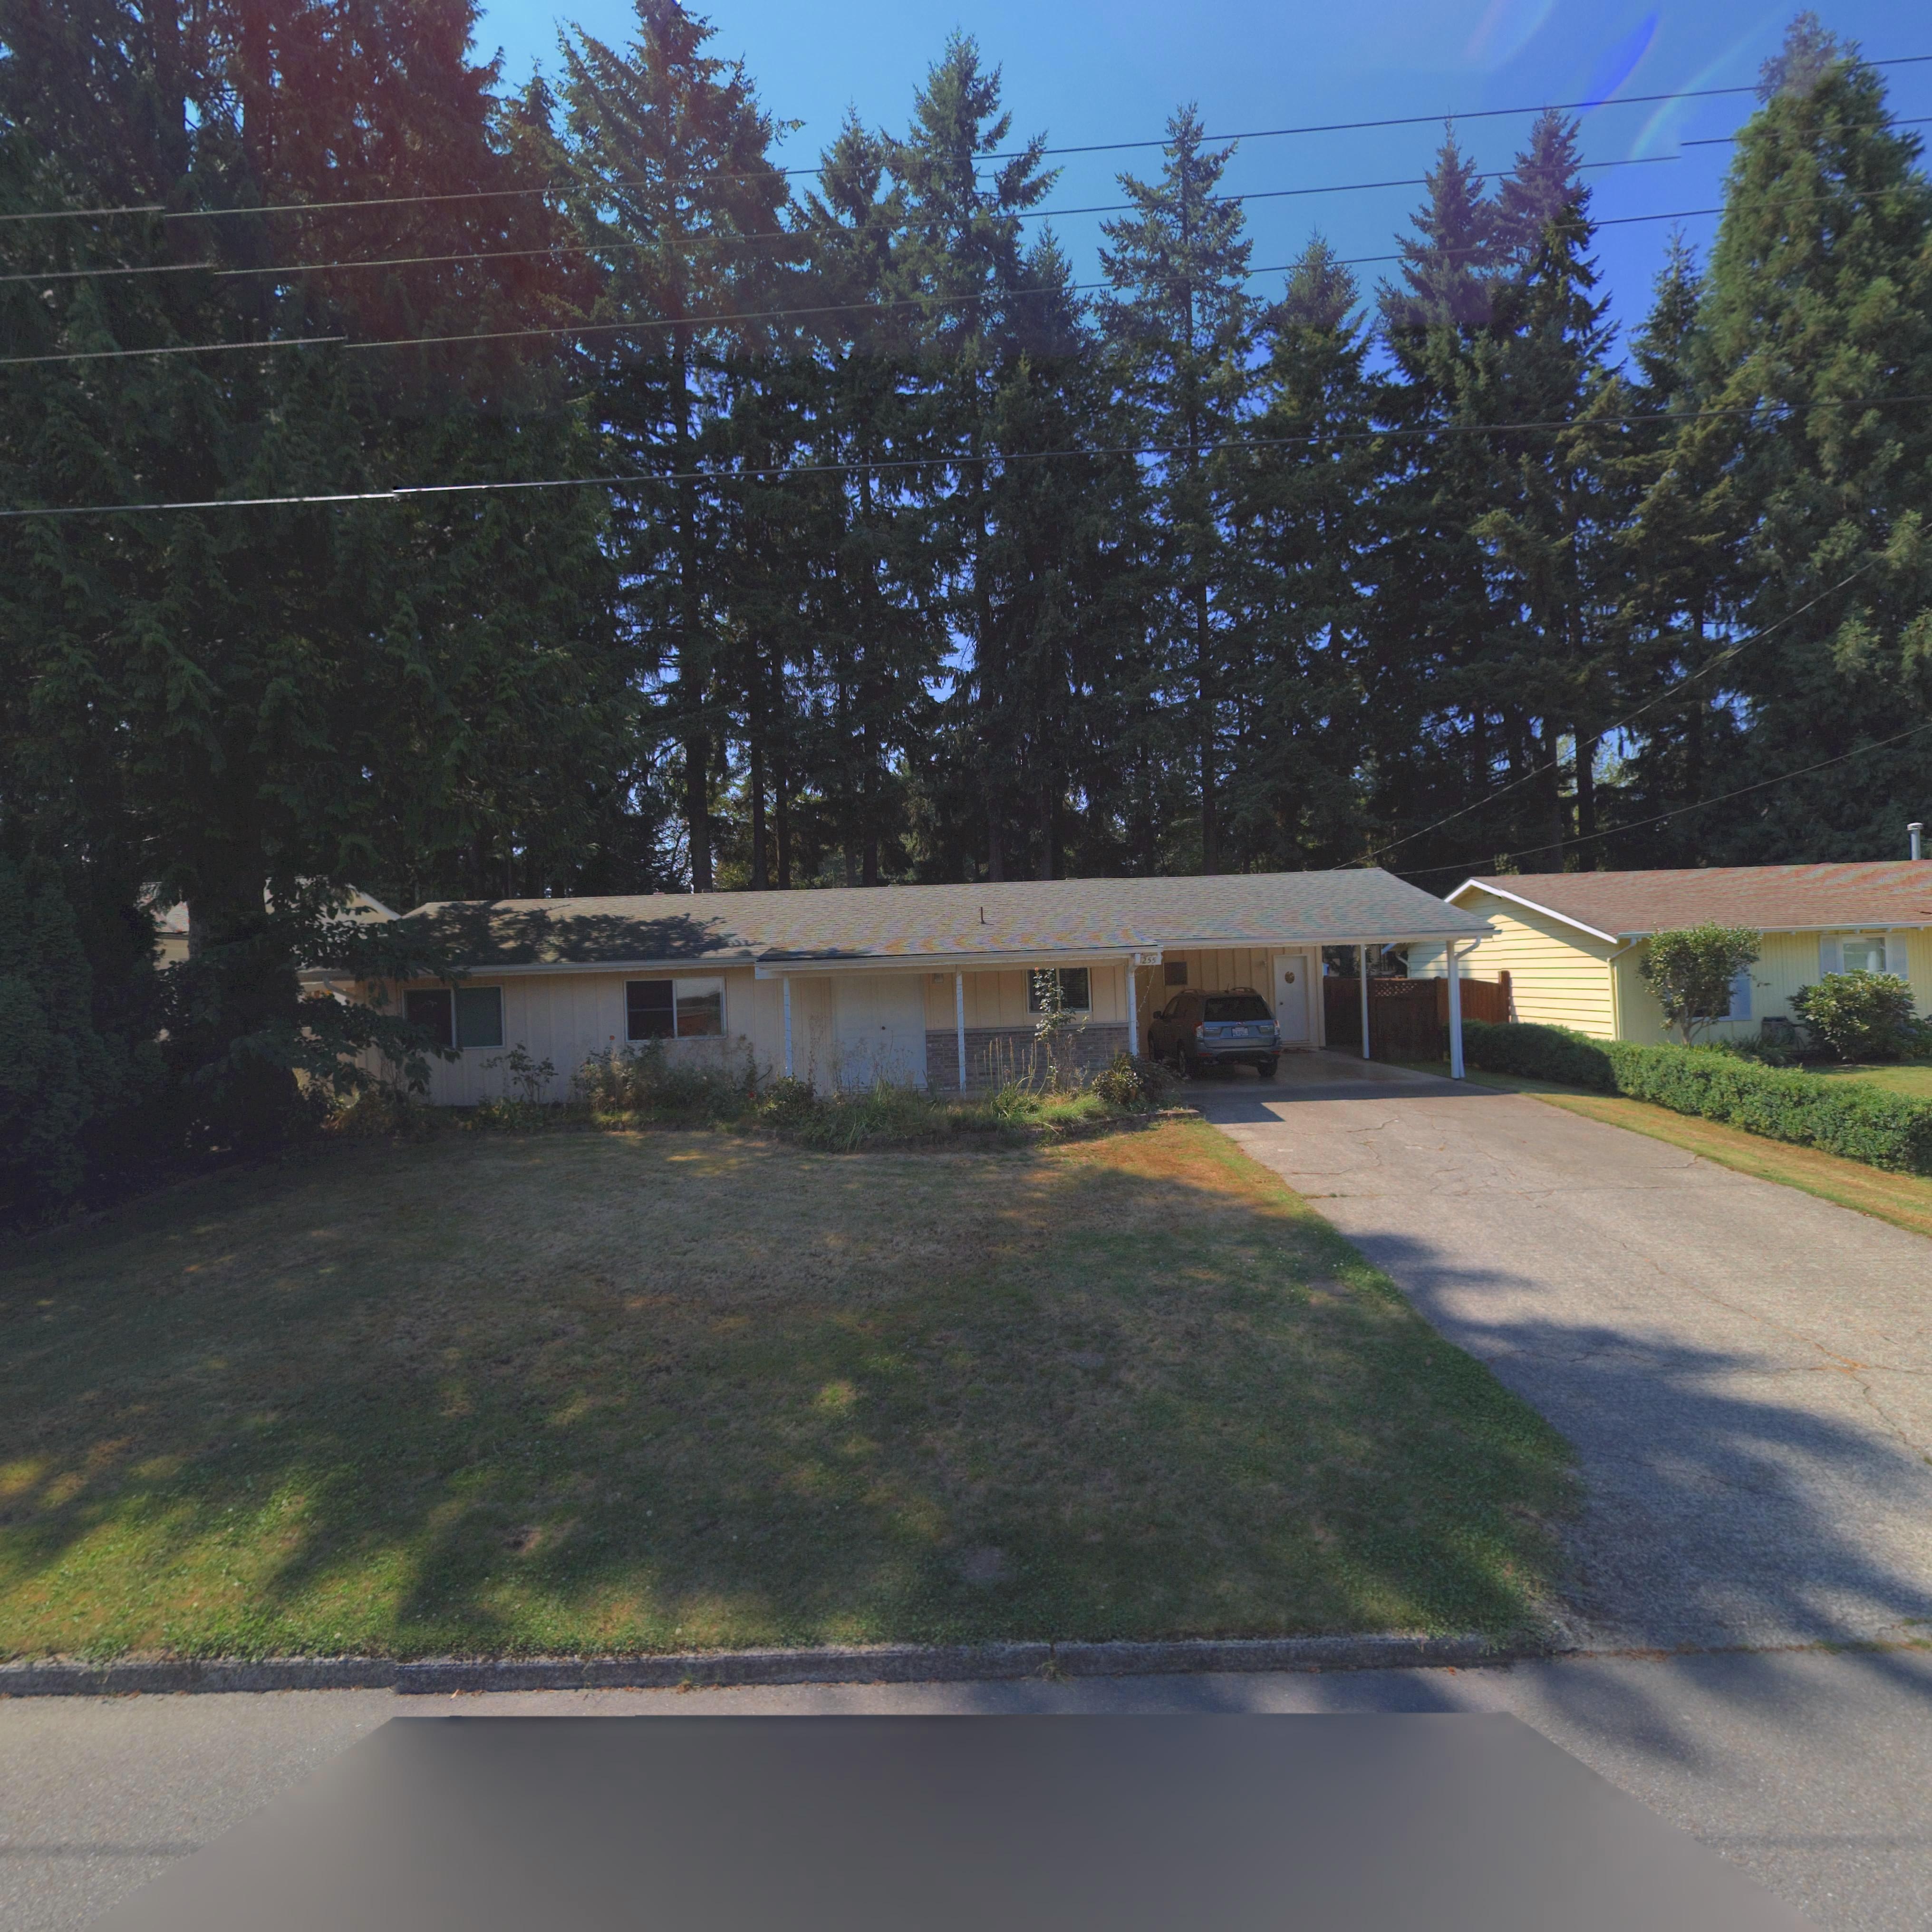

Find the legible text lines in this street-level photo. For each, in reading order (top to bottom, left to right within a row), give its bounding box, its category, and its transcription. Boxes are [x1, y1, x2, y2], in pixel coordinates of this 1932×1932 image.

[1142, 956, 1156, 964] StreetNumber: 255